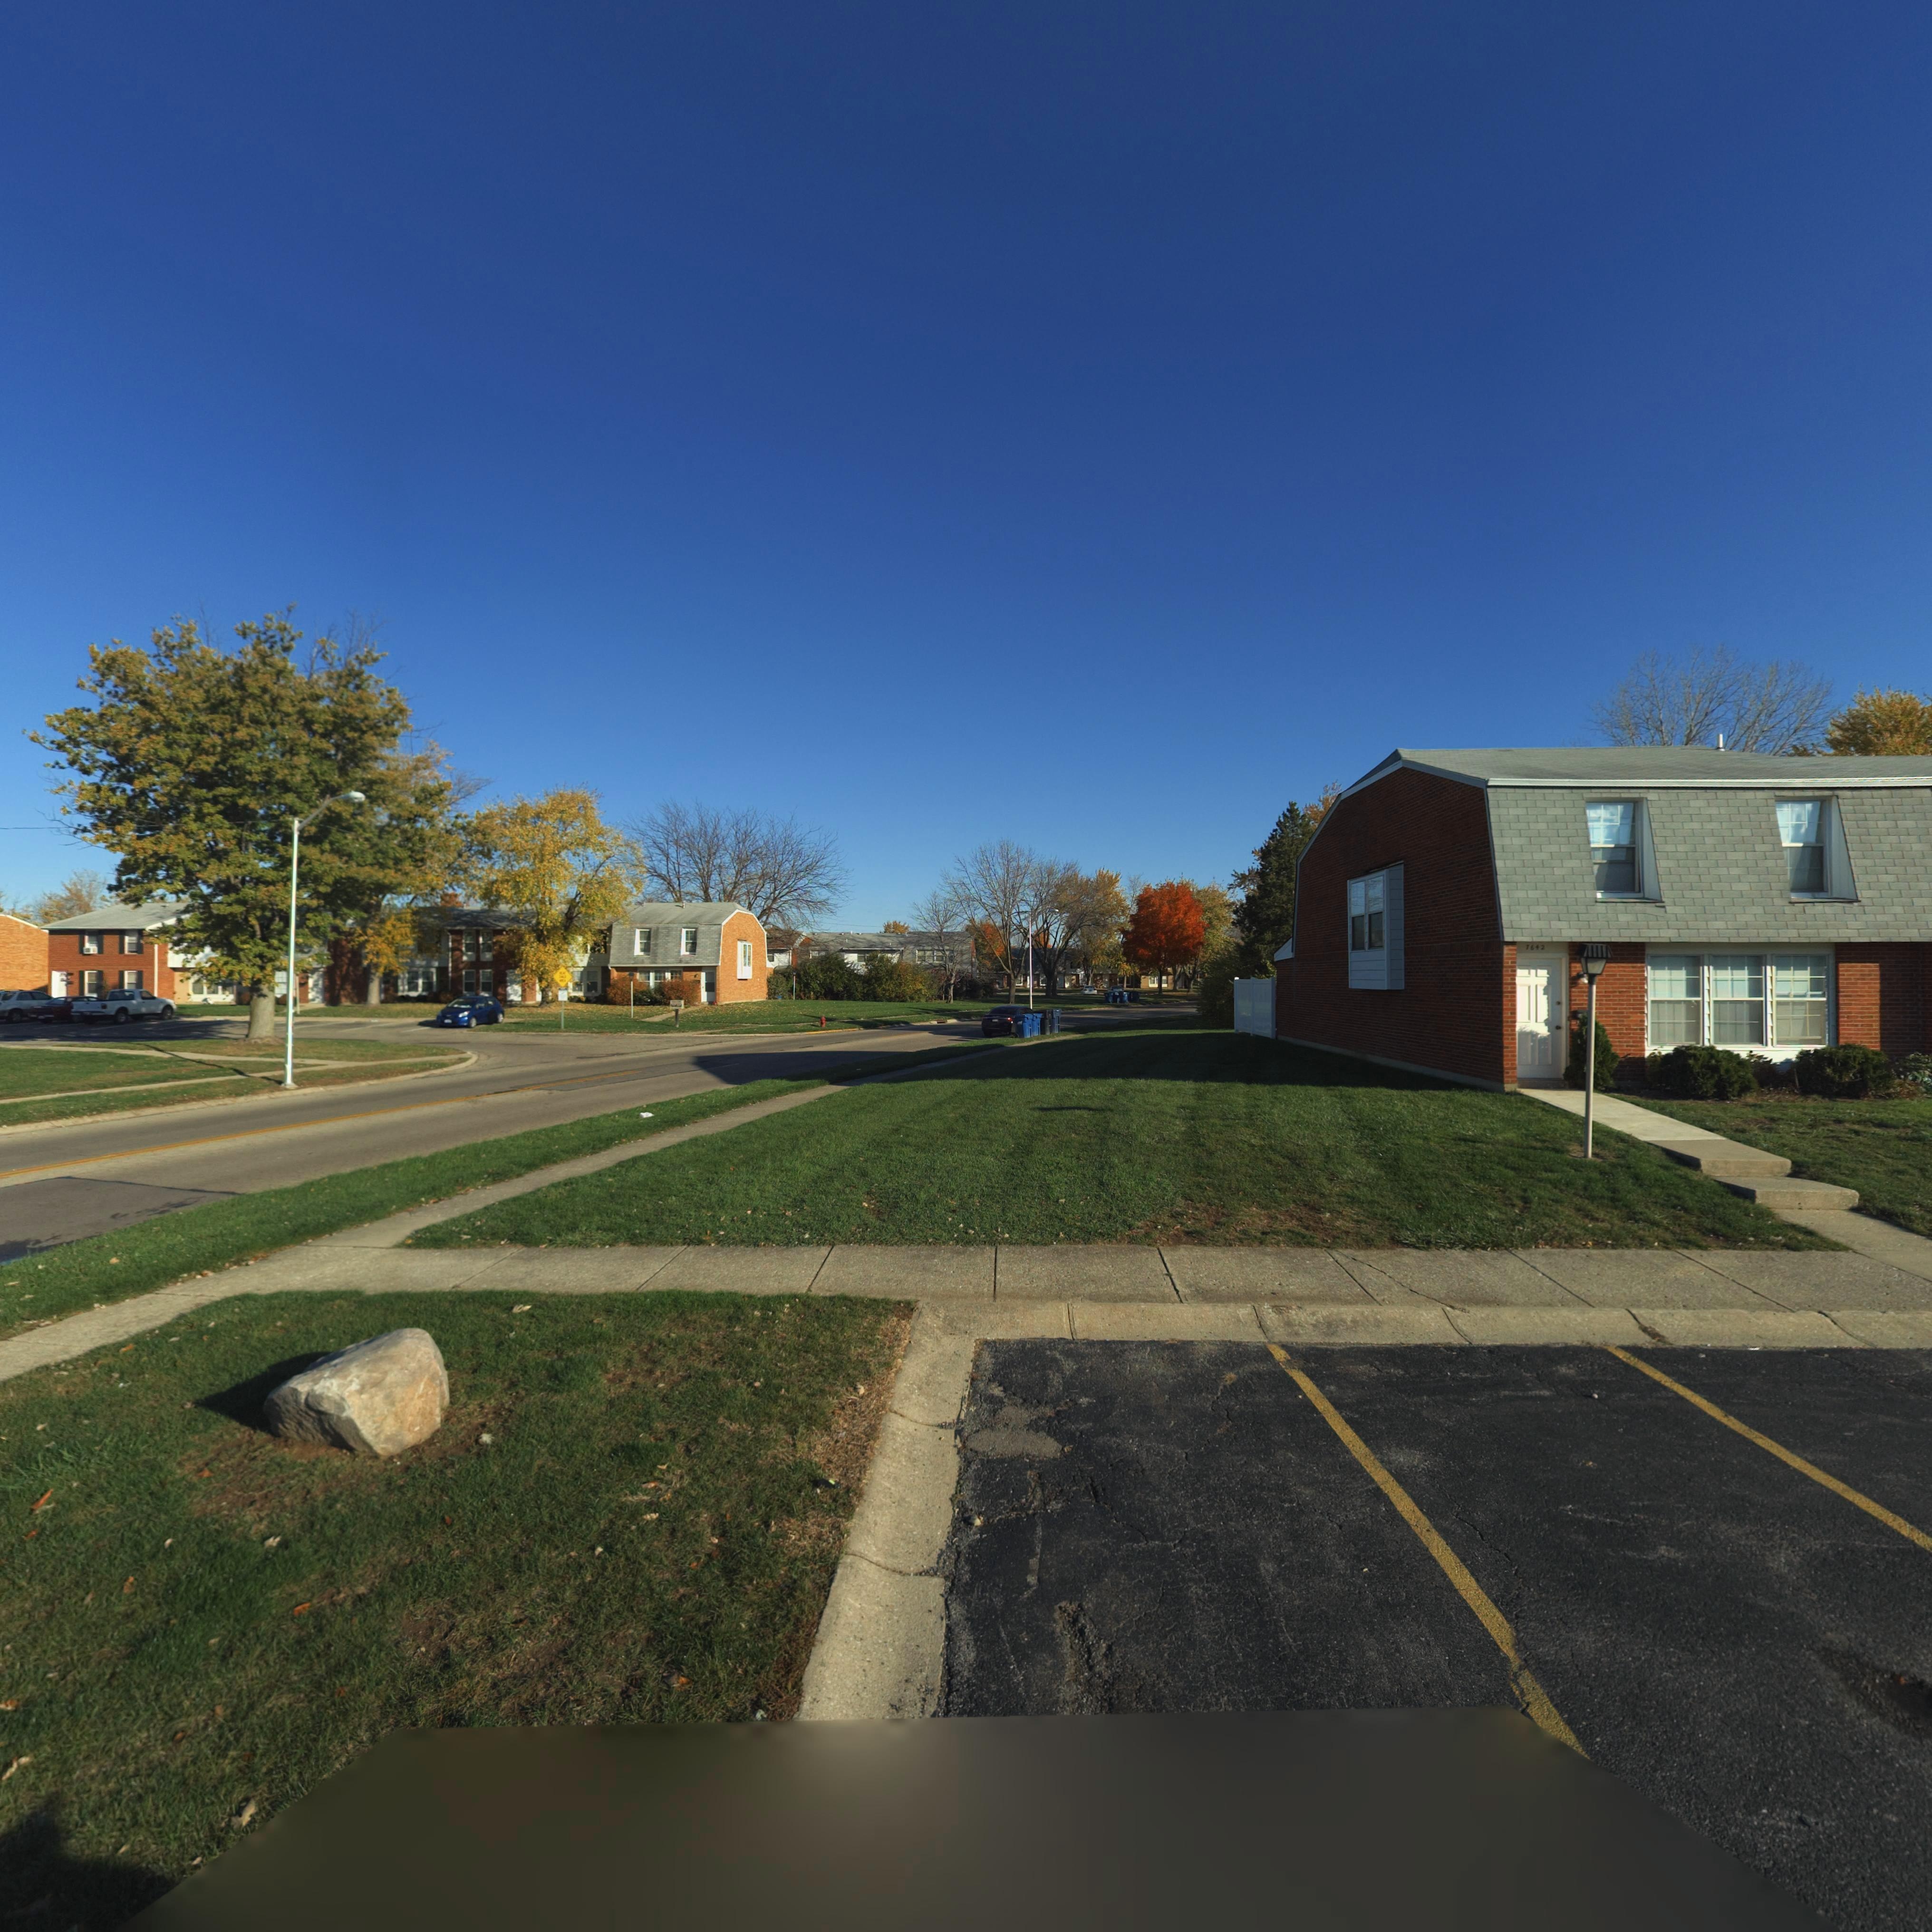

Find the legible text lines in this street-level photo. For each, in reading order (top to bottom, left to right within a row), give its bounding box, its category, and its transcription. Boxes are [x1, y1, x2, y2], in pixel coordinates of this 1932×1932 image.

[1525, 944, 1546, 951] StreetNumber: 7642